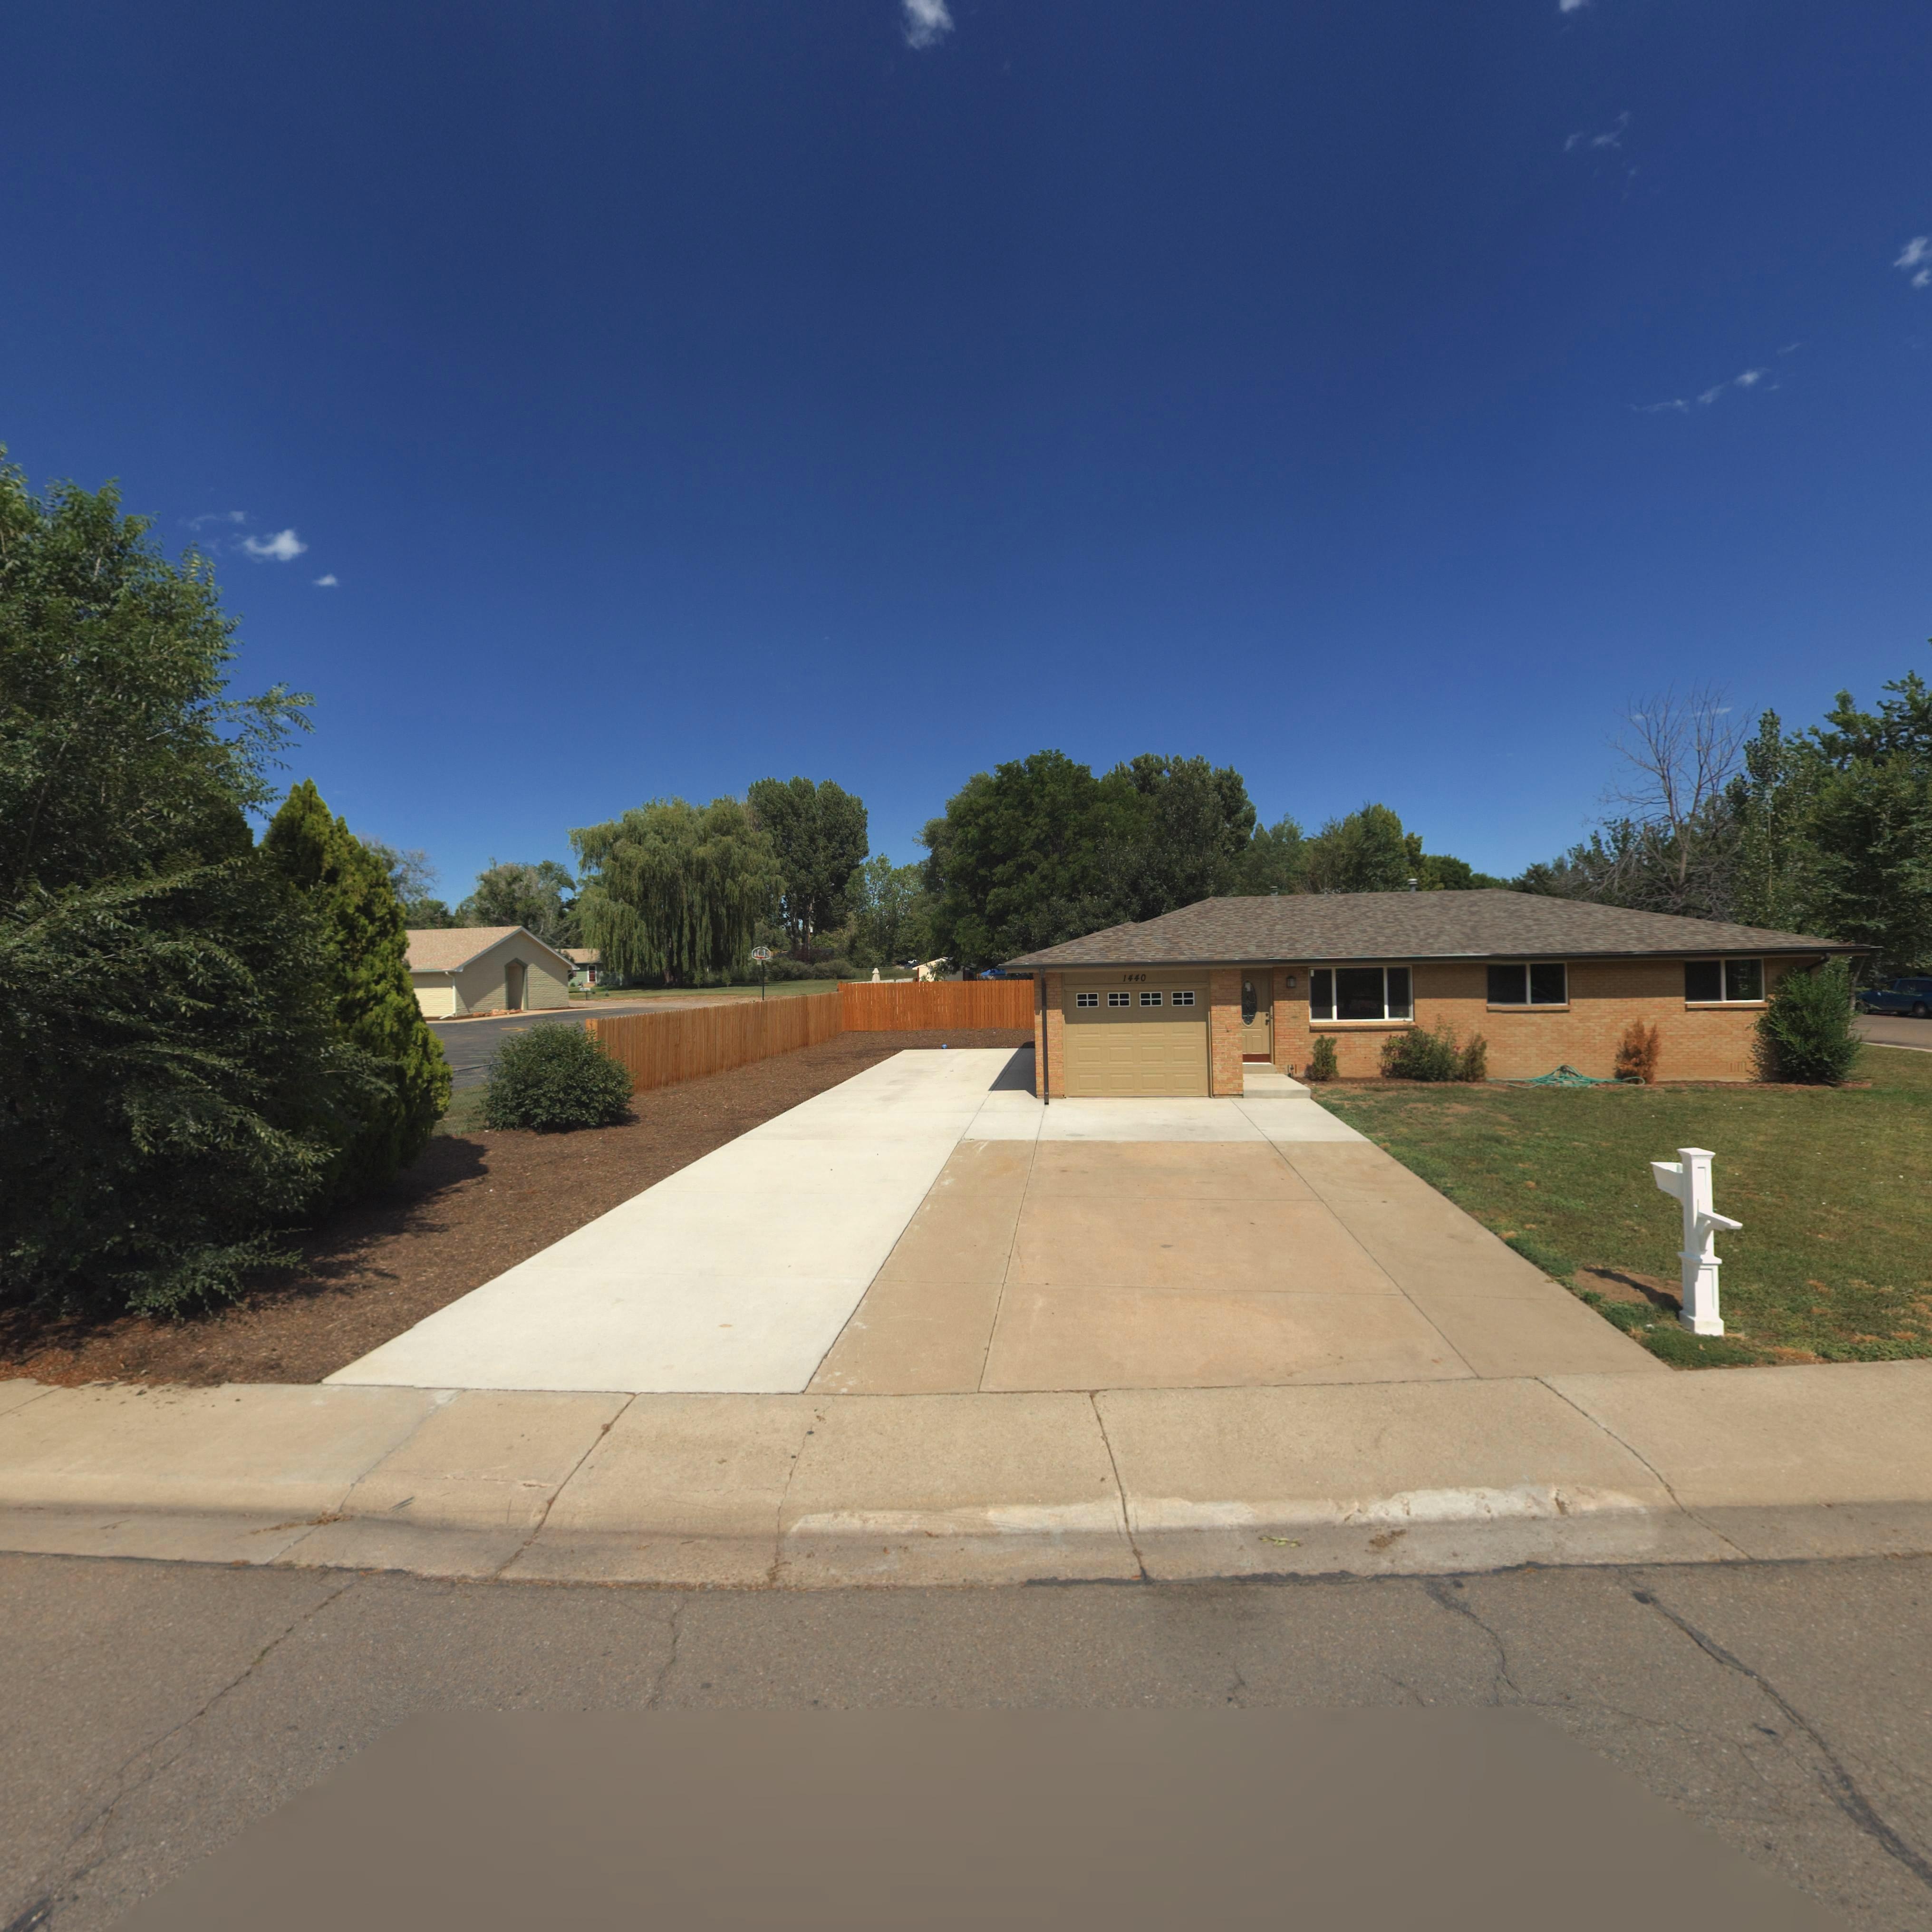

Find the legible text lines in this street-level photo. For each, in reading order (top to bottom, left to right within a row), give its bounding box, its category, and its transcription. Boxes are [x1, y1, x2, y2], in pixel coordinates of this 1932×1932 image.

[1122, 974, 1147, 982] StreetNumber: 1440